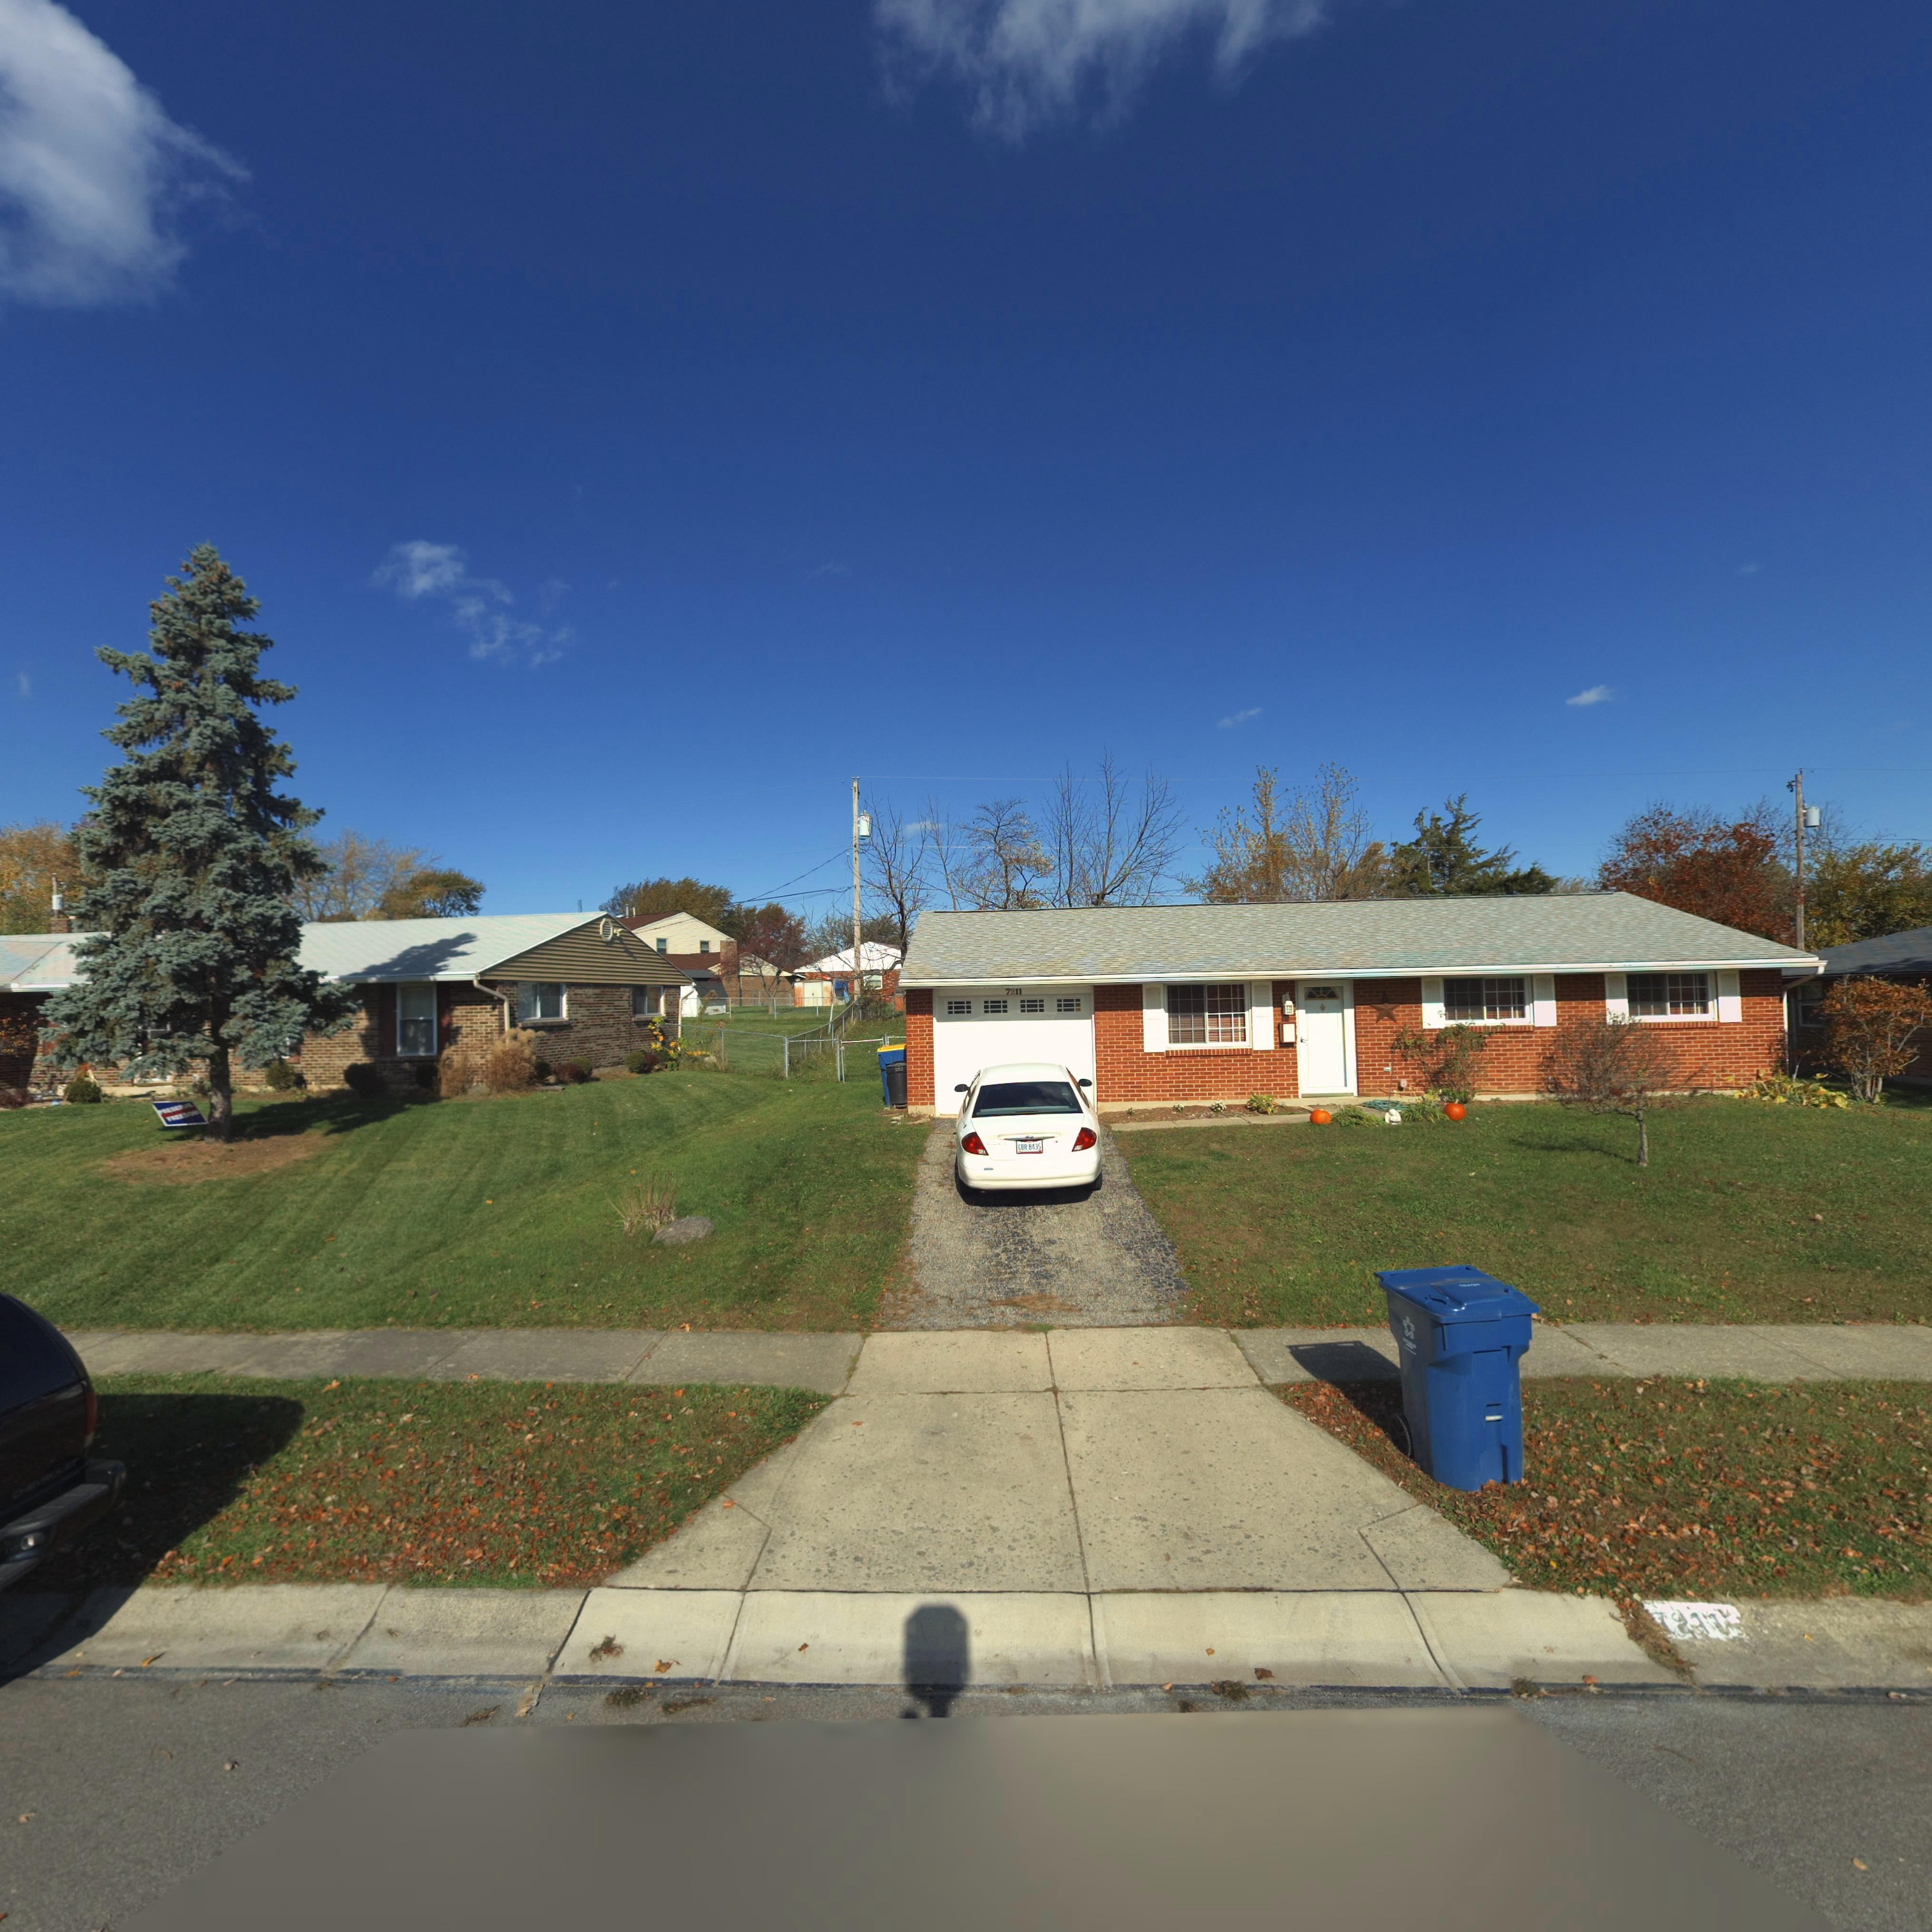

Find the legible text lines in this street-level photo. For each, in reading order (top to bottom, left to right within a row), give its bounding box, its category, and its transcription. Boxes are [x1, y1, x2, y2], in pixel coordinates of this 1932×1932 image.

[1004, 987, 1024, 996] StreetNumber: 7211
[1689, 1610, 1712, 1635] StreetNumber: 1